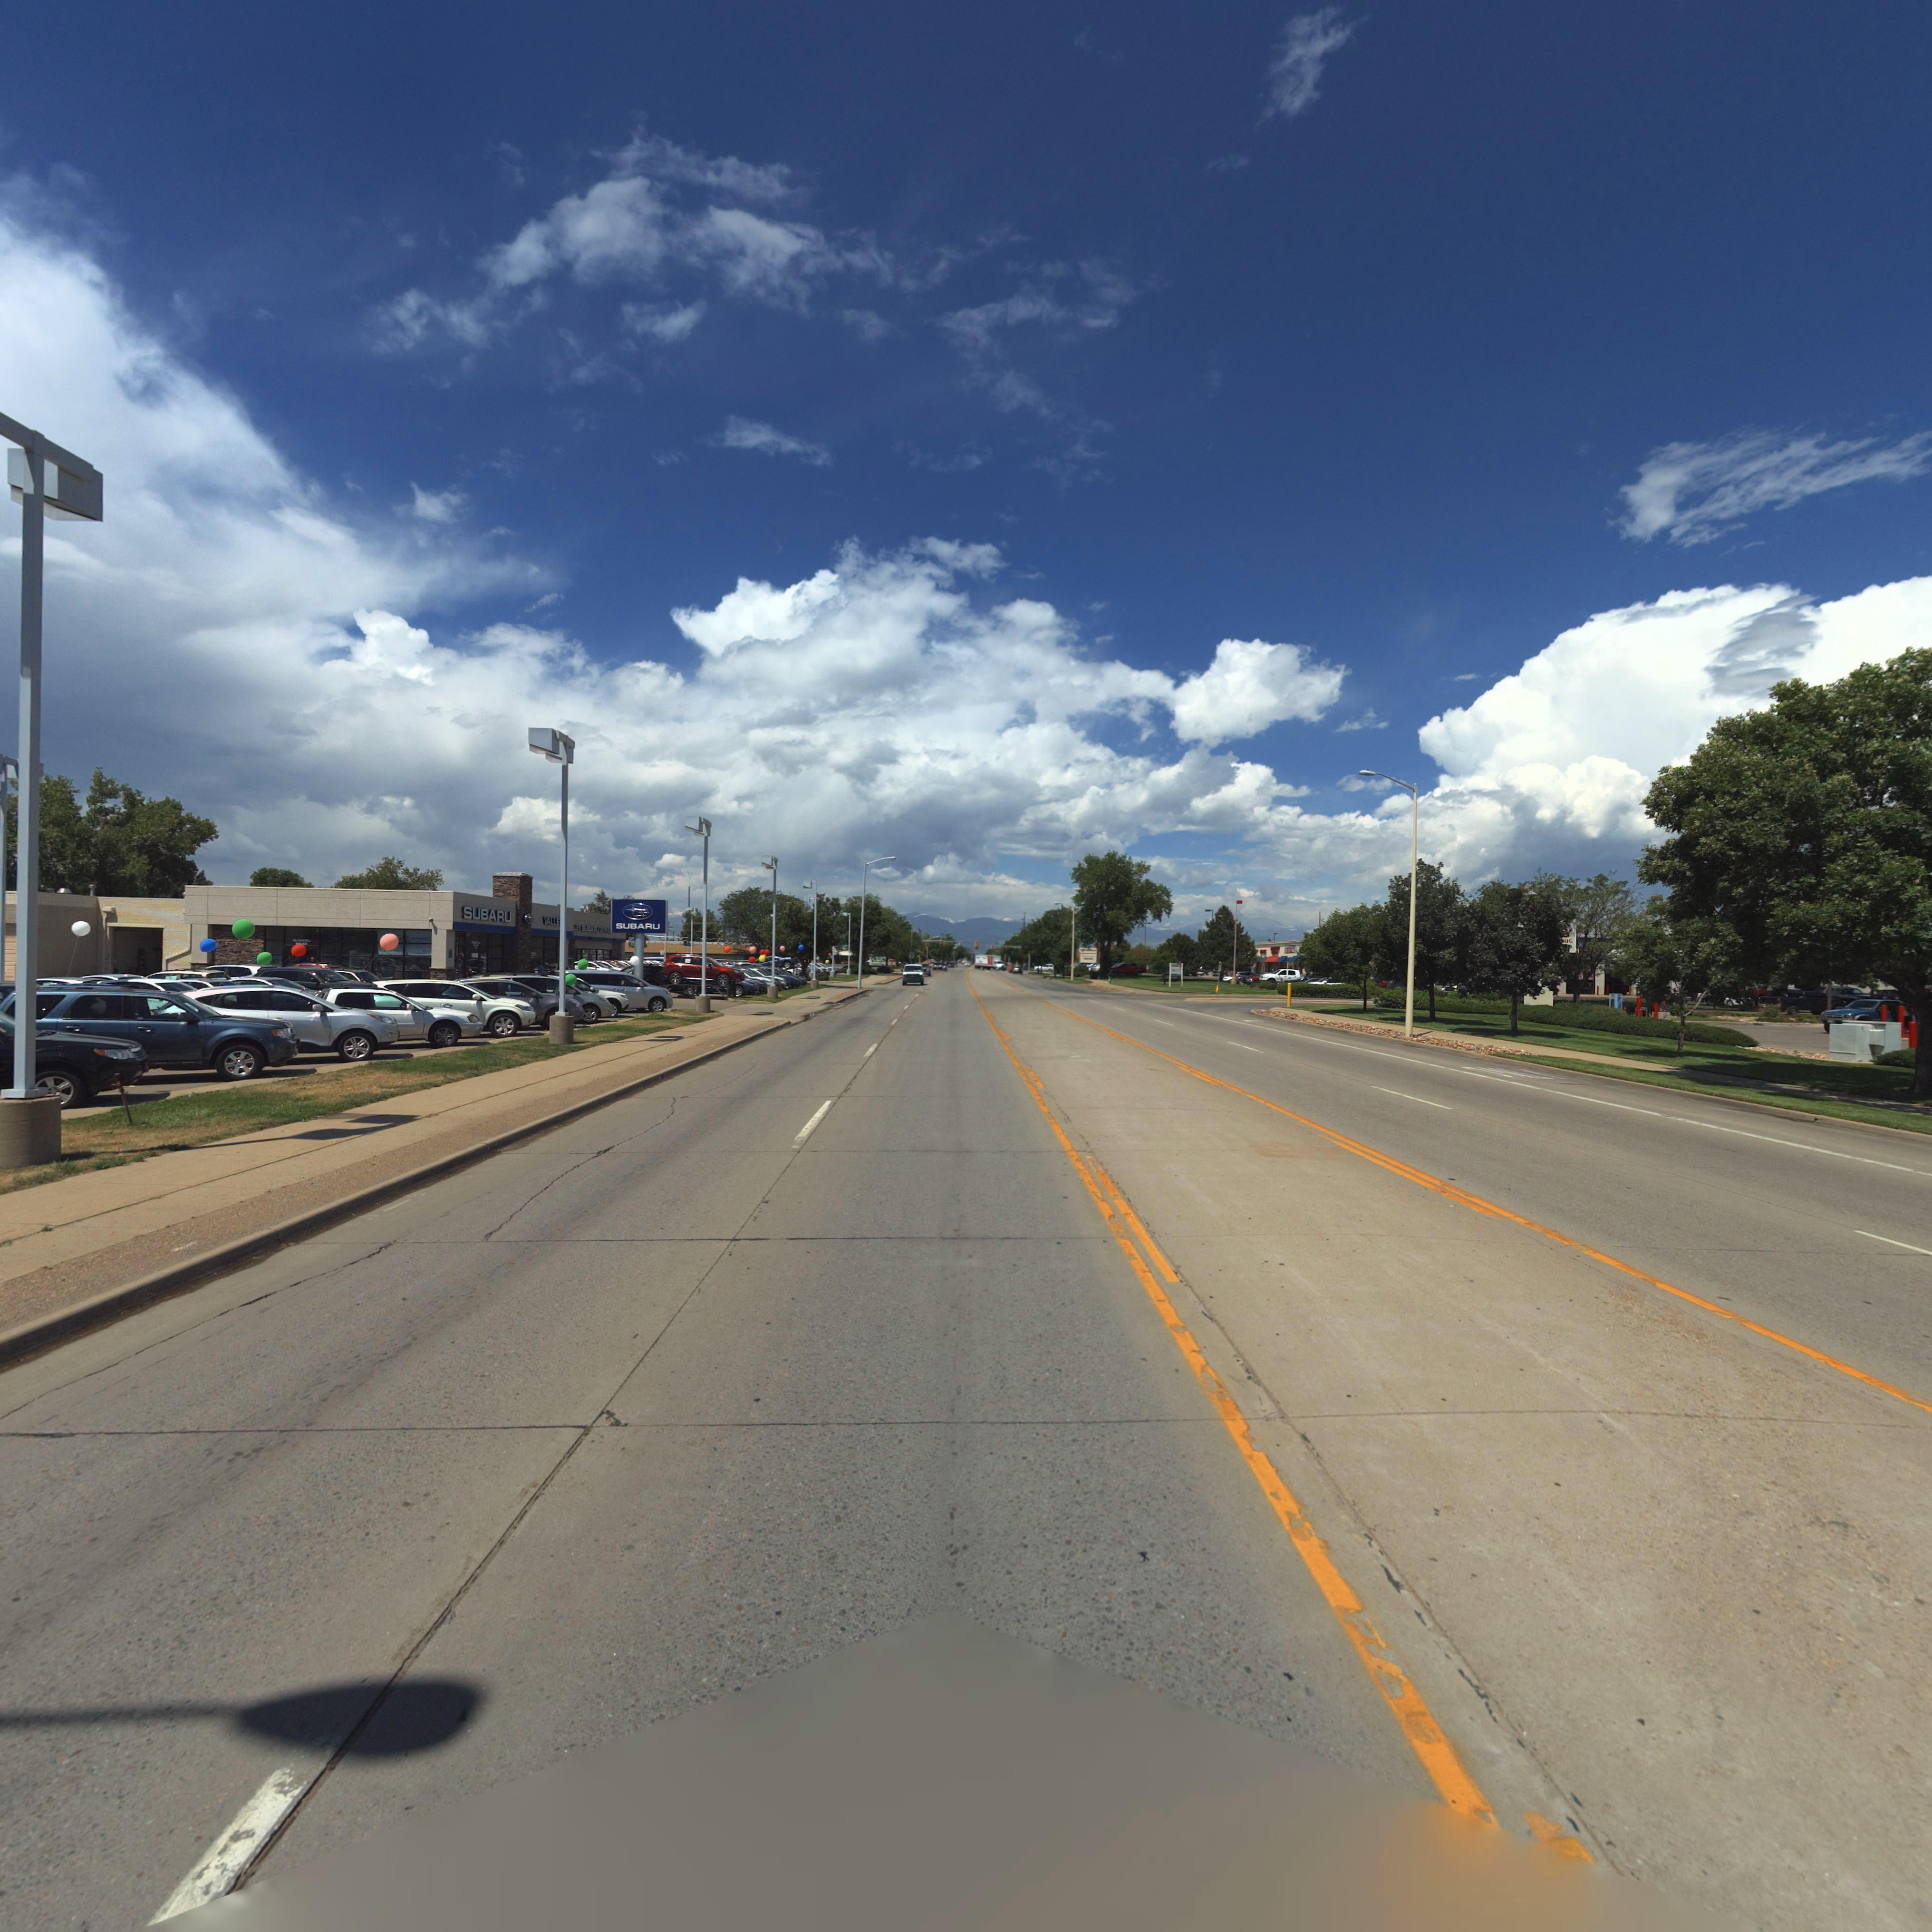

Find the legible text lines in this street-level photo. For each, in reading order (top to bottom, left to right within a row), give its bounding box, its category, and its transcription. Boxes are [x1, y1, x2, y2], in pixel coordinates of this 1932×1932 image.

[463, 906, 512, 923] BusinessName: SUBARU
[543, 916, 560, 926] BusinessName: VALLE
[574, 924, 611, 934] BusinessName: LEY SUBARU SERVIC
[616, 922, 660, 930] BusinessName: SUBARU
[1564, 928, 1572, 937] BusinessName: Y
[292, 938, 310, 942] BusinessName: *U***U
[1564, 938, 1573, 943] BusinessName: UG
[870, 956, 876, 963] BusinessName: V
[1083, 957, 1094, 960] BusinessName: *NC